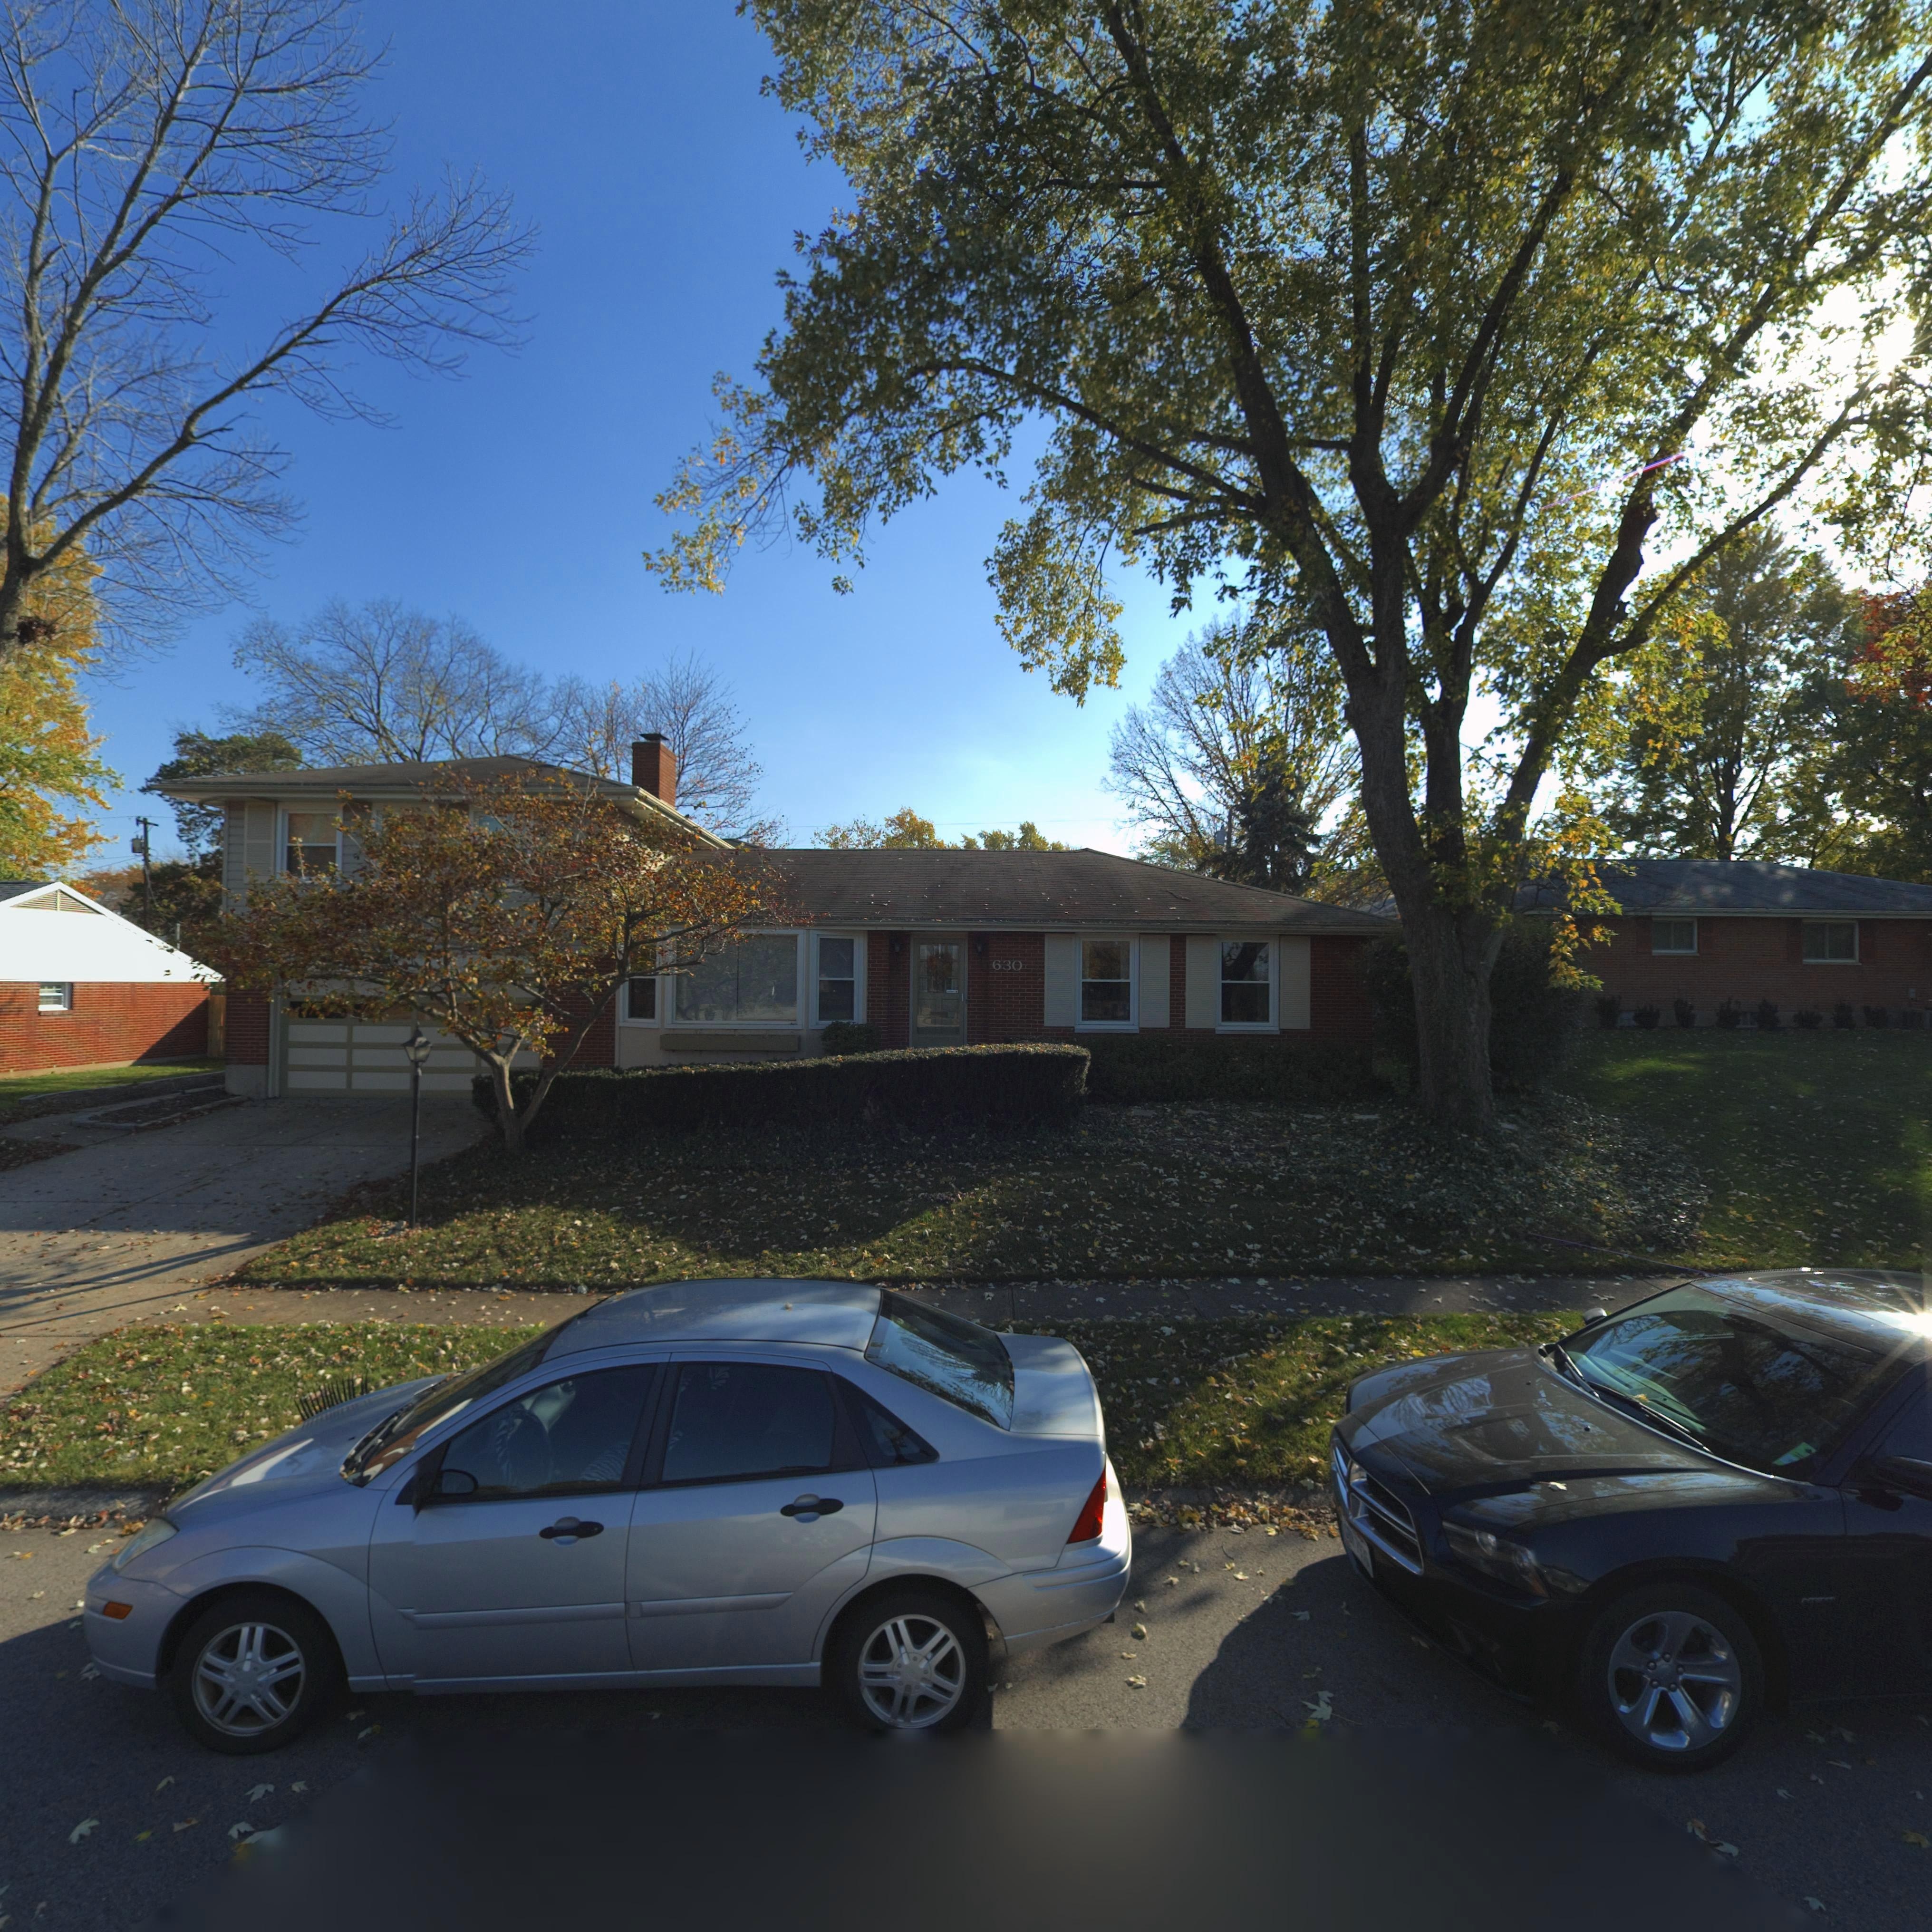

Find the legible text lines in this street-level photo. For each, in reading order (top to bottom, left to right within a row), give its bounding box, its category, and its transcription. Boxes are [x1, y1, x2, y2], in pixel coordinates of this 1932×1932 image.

[992, 959, 1023, 972] StreetNumber: 630